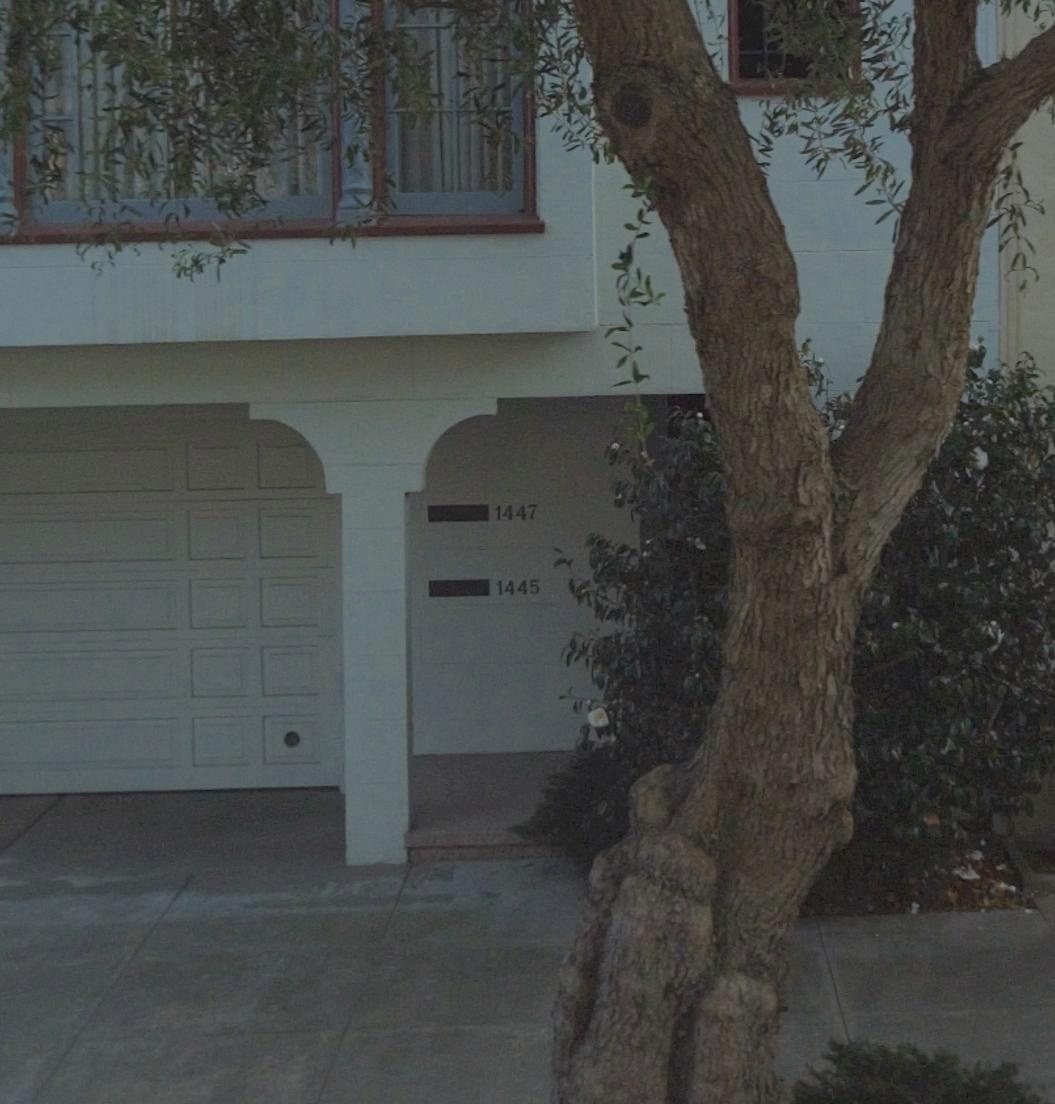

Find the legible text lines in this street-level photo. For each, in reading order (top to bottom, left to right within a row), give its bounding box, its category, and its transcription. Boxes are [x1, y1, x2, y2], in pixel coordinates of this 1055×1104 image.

[493, 502, 542, 523] StreetNumber: 1447
[494, 577, 541, 597] StreetNumber: 1445